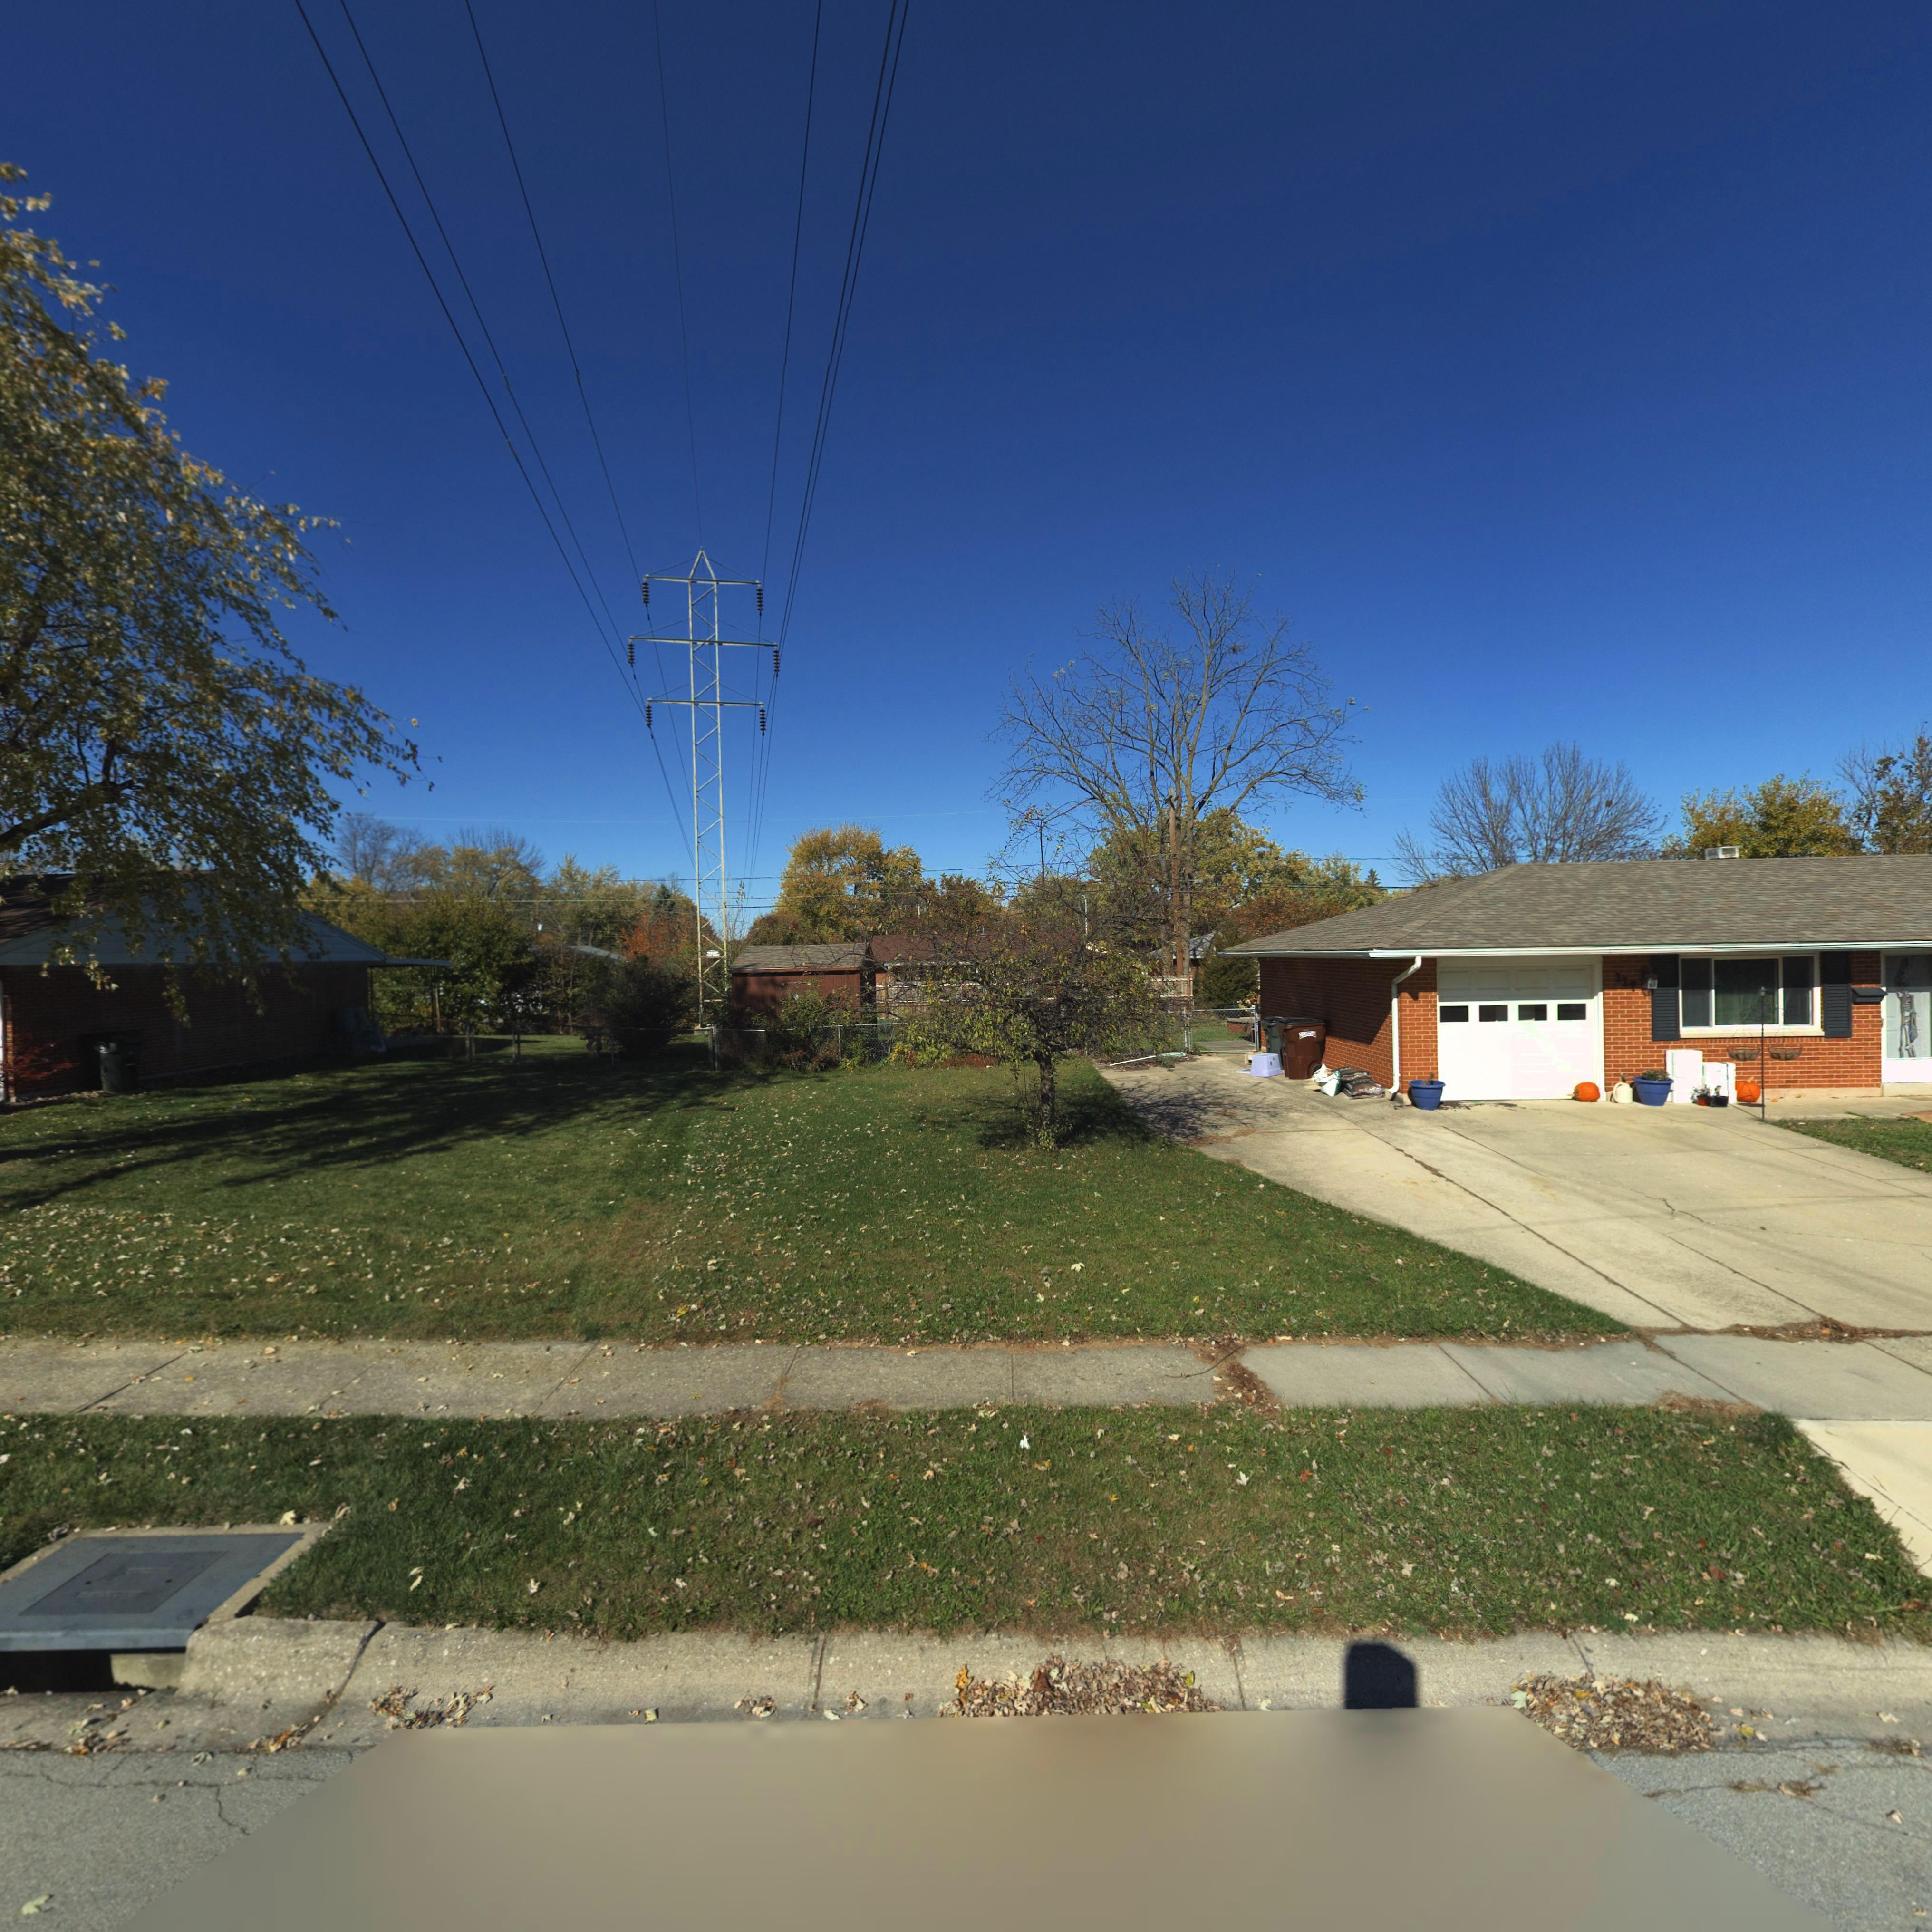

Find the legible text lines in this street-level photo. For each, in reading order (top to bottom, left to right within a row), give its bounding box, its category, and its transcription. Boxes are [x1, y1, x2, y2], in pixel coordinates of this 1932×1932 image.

[1613, 971, 1638, 993] StreetNumber: 117